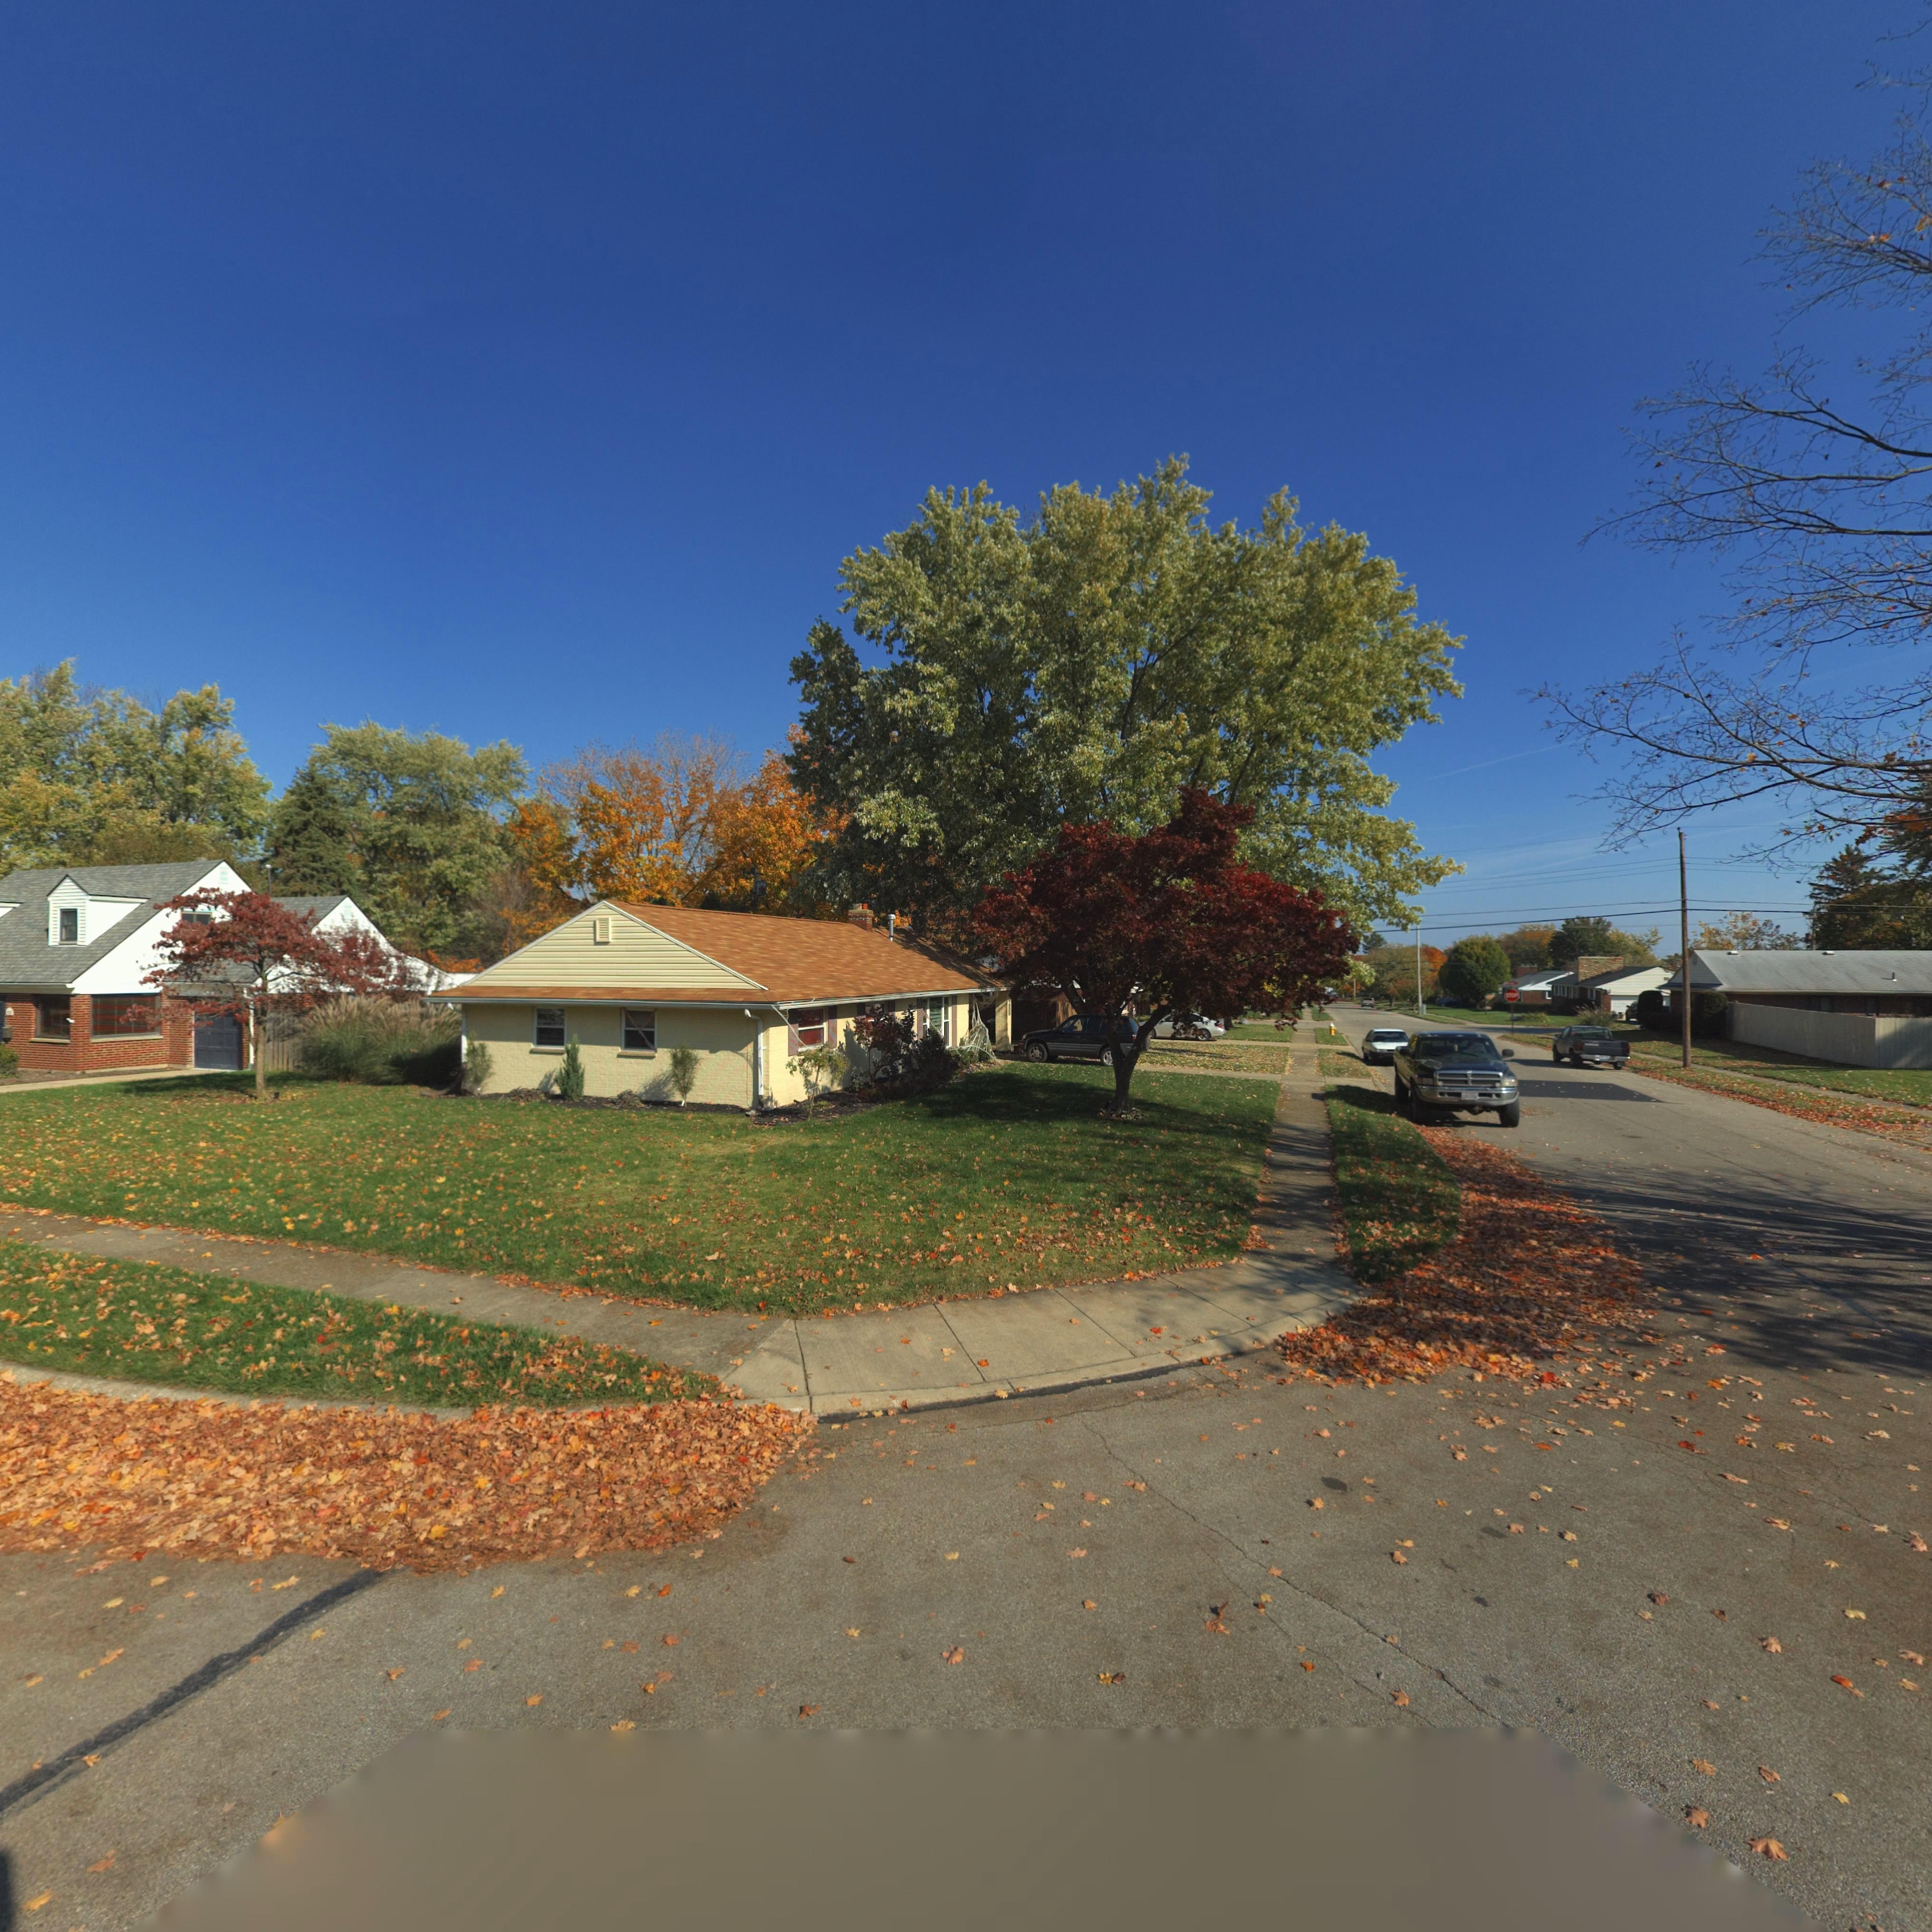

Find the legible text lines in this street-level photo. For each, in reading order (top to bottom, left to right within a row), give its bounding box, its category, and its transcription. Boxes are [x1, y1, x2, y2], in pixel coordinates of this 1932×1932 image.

[1505, 992, 1519, 998] None: *TO*